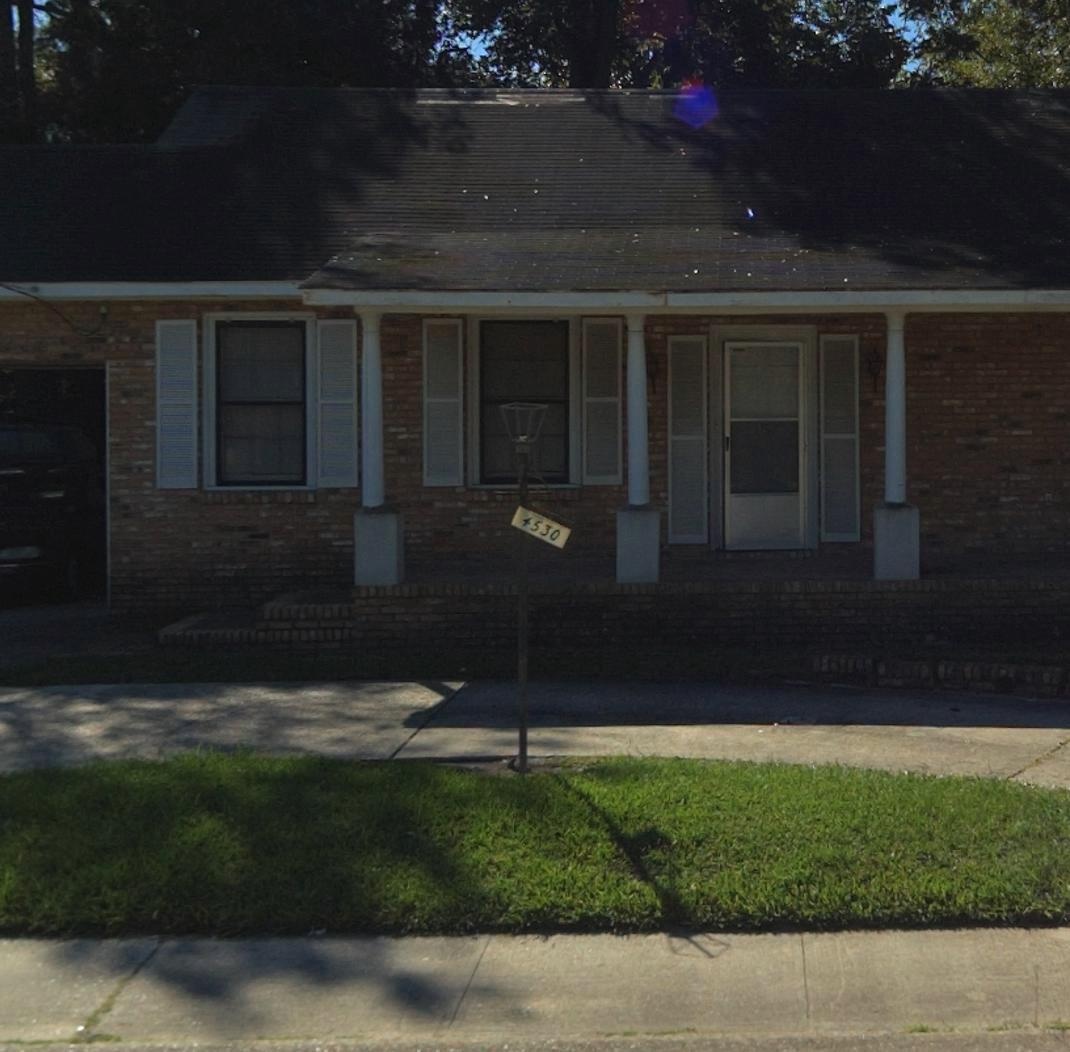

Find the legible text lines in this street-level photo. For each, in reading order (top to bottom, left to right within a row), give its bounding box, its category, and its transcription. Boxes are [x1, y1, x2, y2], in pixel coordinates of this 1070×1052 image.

[515, 515, 564, 543] StreetNumber: 4530